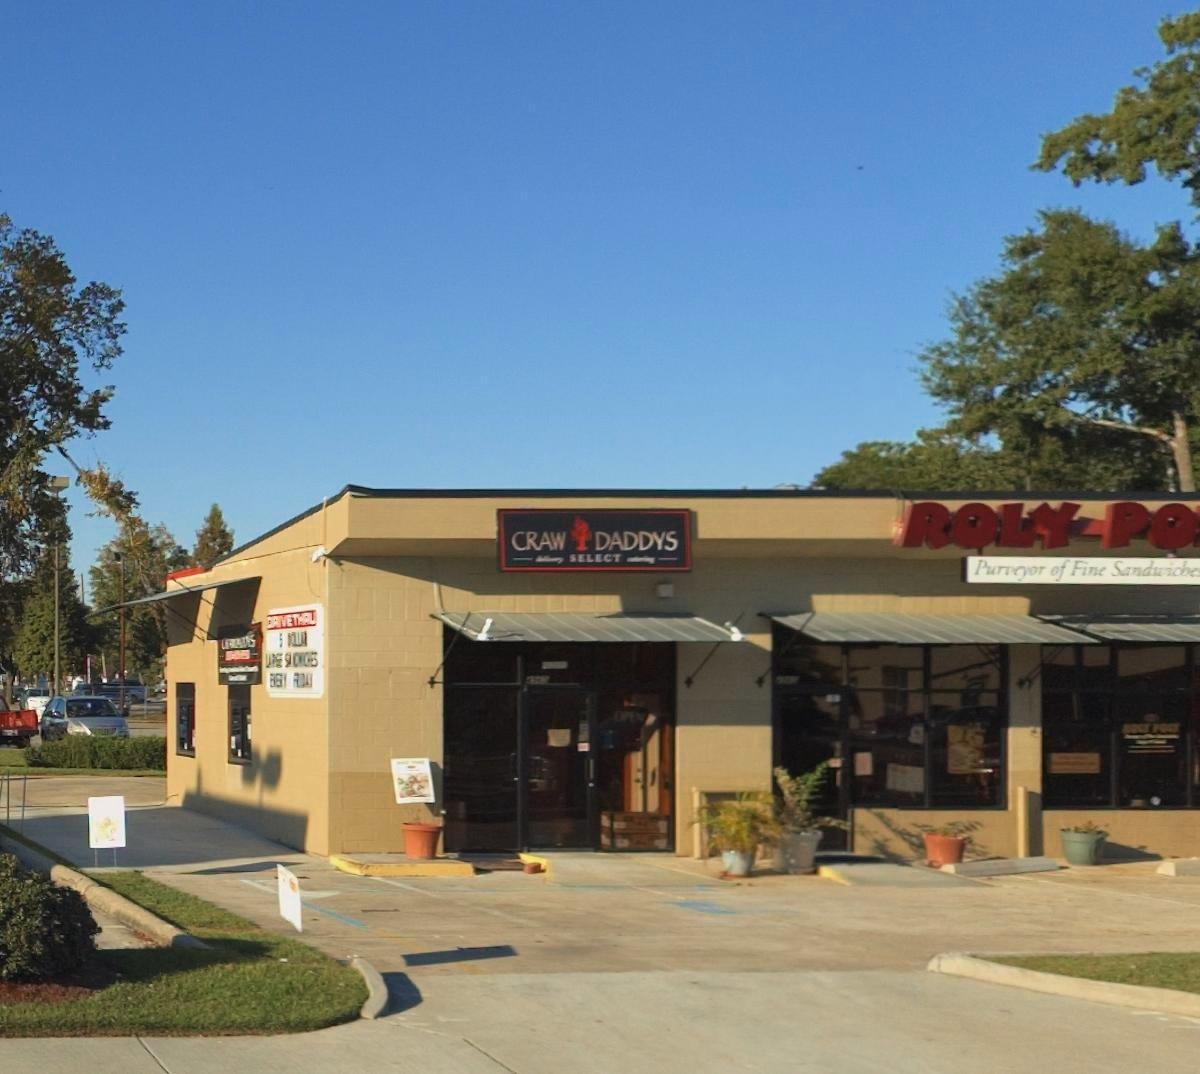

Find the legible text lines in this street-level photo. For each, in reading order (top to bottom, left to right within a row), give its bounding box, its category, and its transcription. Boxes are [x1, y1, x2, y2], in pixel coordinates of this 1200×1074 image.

[899, 500, 1198, 550] BusinessName: ROLY-PO
[510, 529, 680, 552] BusinessName: CRAW DADDYS
[568, 552, 623, 564] BusinessName: SELECT
[973, 558, 1200, 584] None: Purveyor of Fine Sandwiche
[266, 610, 316, 630] None: DRIVETHRU
[277, 629, 309, 649] None: 5 DOLL**
[264, 649, 320, 670] None: LA*GE SA****CHES
[268, 671, 315, 690] None: EVERY F***AY